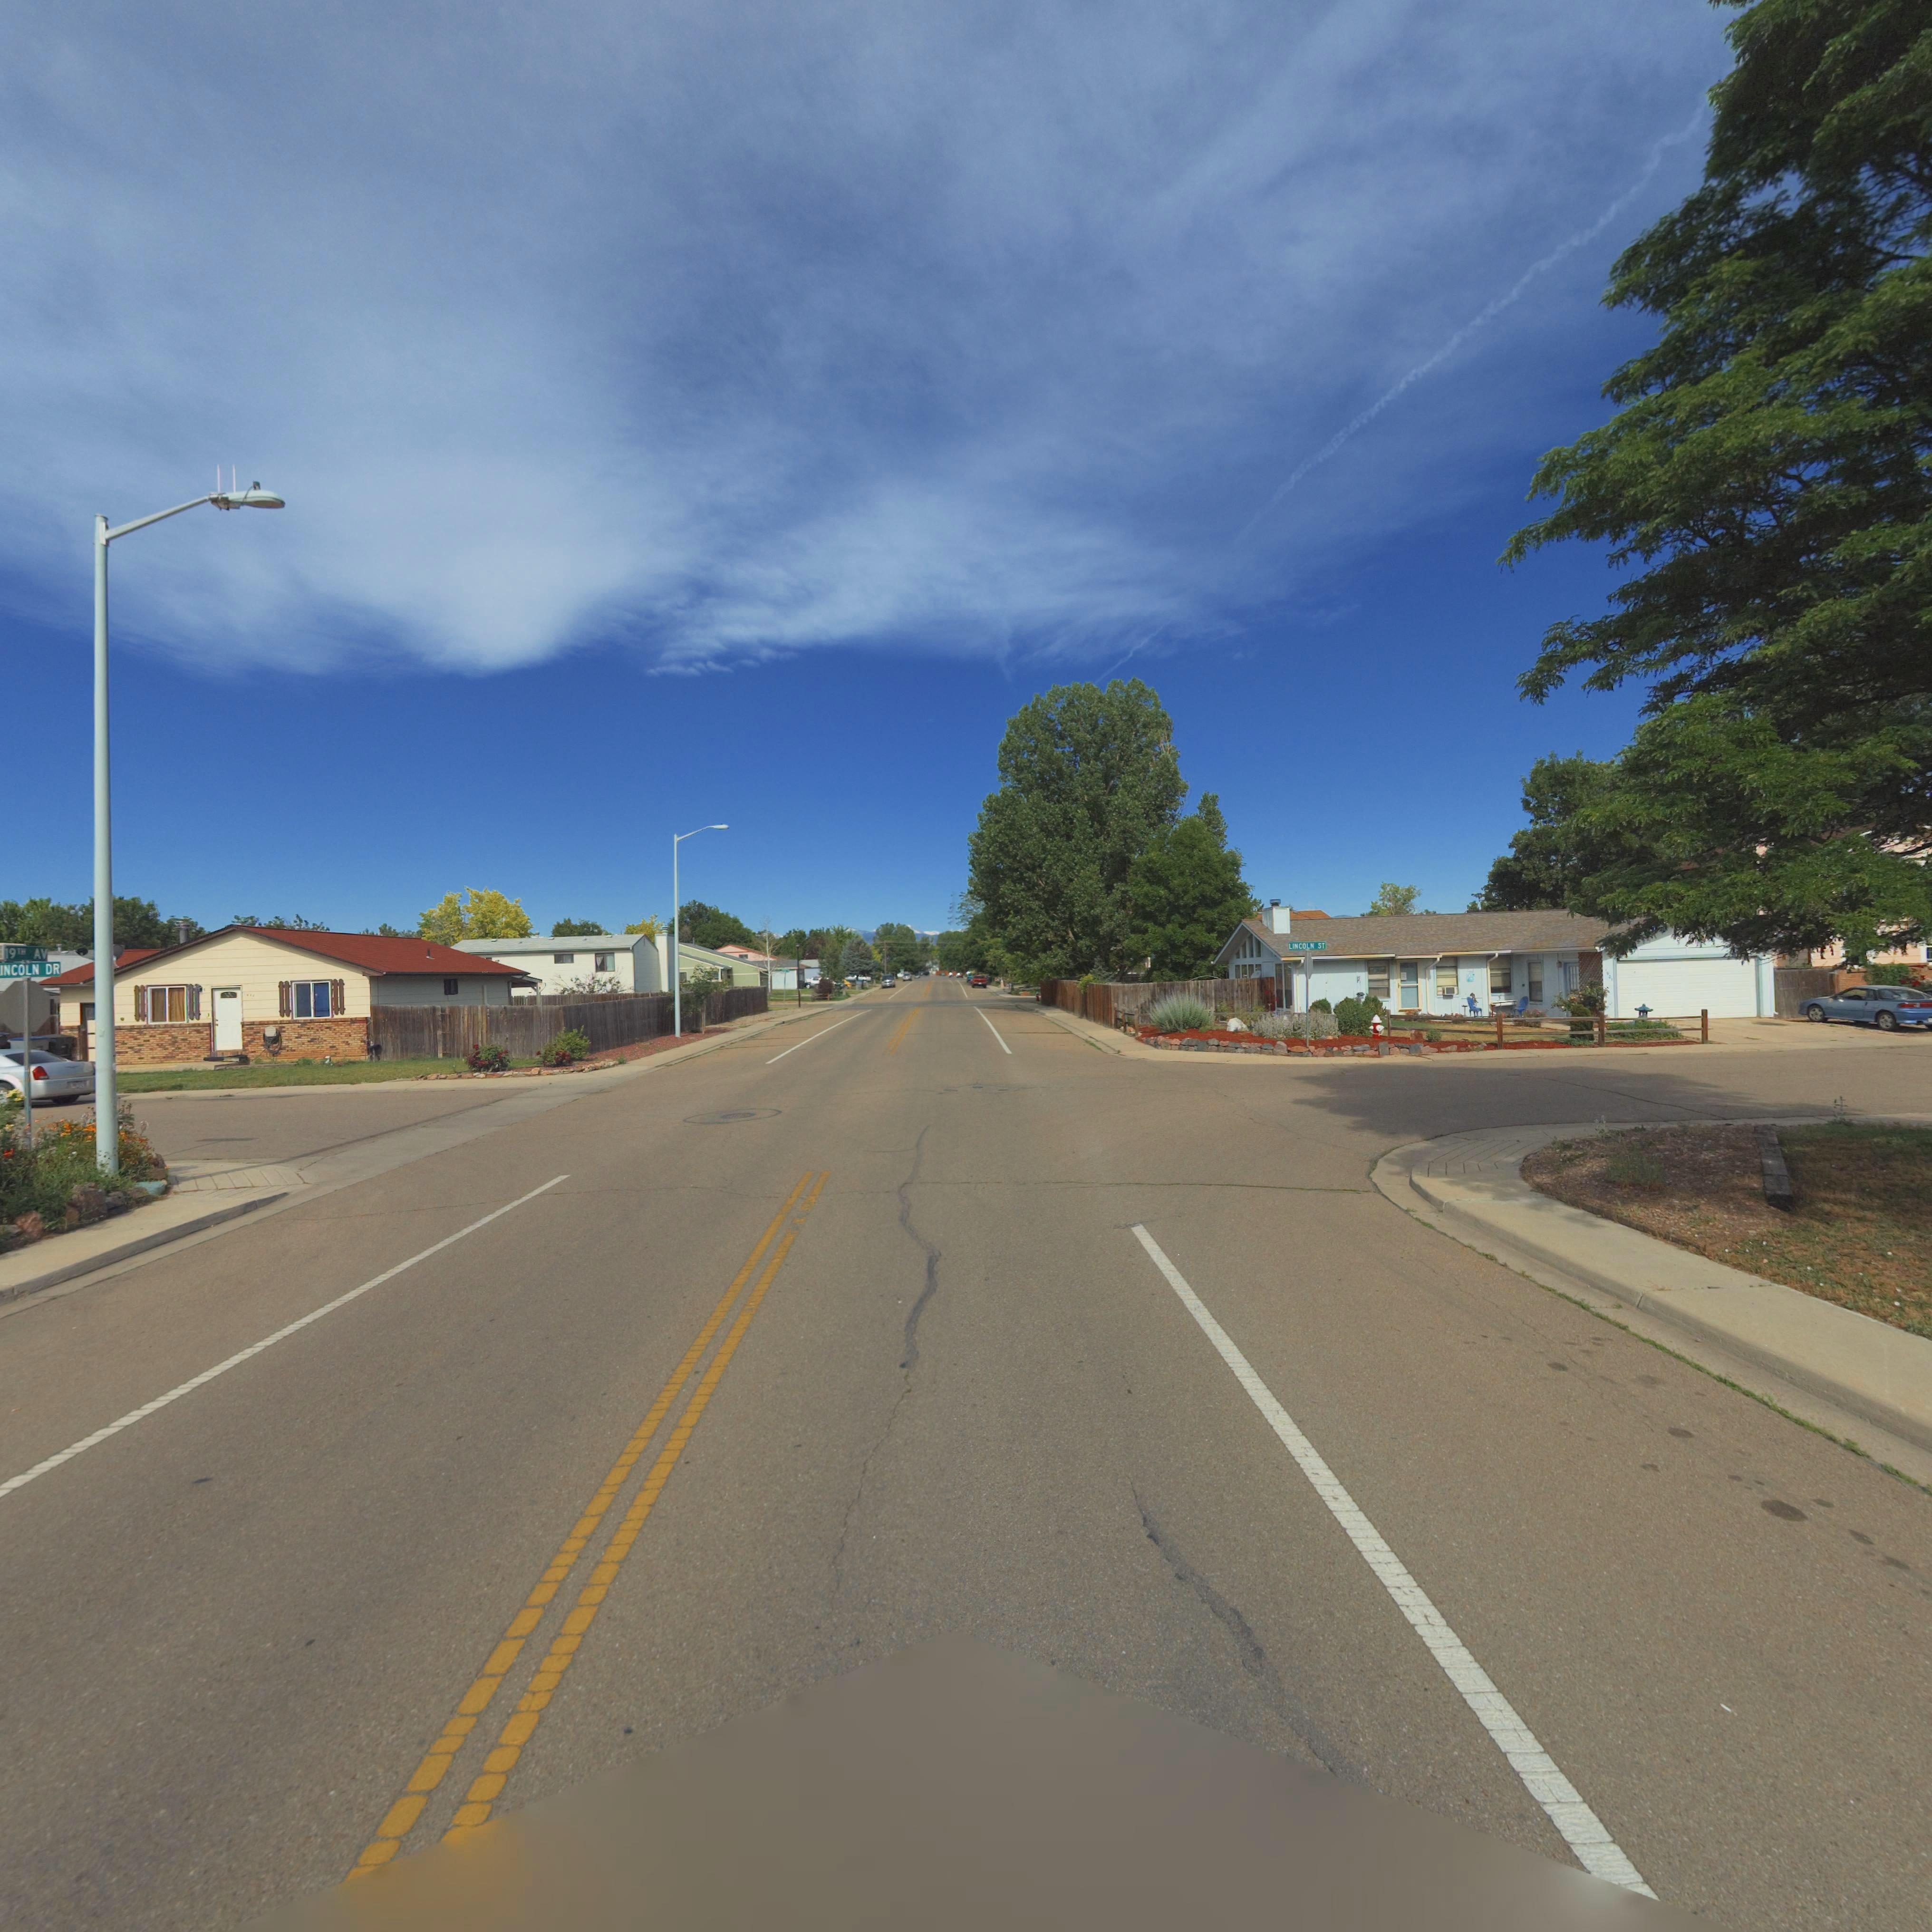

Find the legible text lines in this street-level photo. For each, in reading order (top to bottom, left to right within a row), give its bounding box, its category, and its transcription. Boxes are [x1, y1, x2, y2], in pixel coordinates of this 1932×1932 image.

[1288, 942, 1325, 949] StreetName: LINCOLN ST
[4, 946, 48, 960] StreetName: 19TH AV
[0, 963, 60, 977] StreetName: INCOLN DR
[1604, 967, 1613, 982] StreetNumber: *001
[246, 993, 255, 997] StreetNumber: 9**